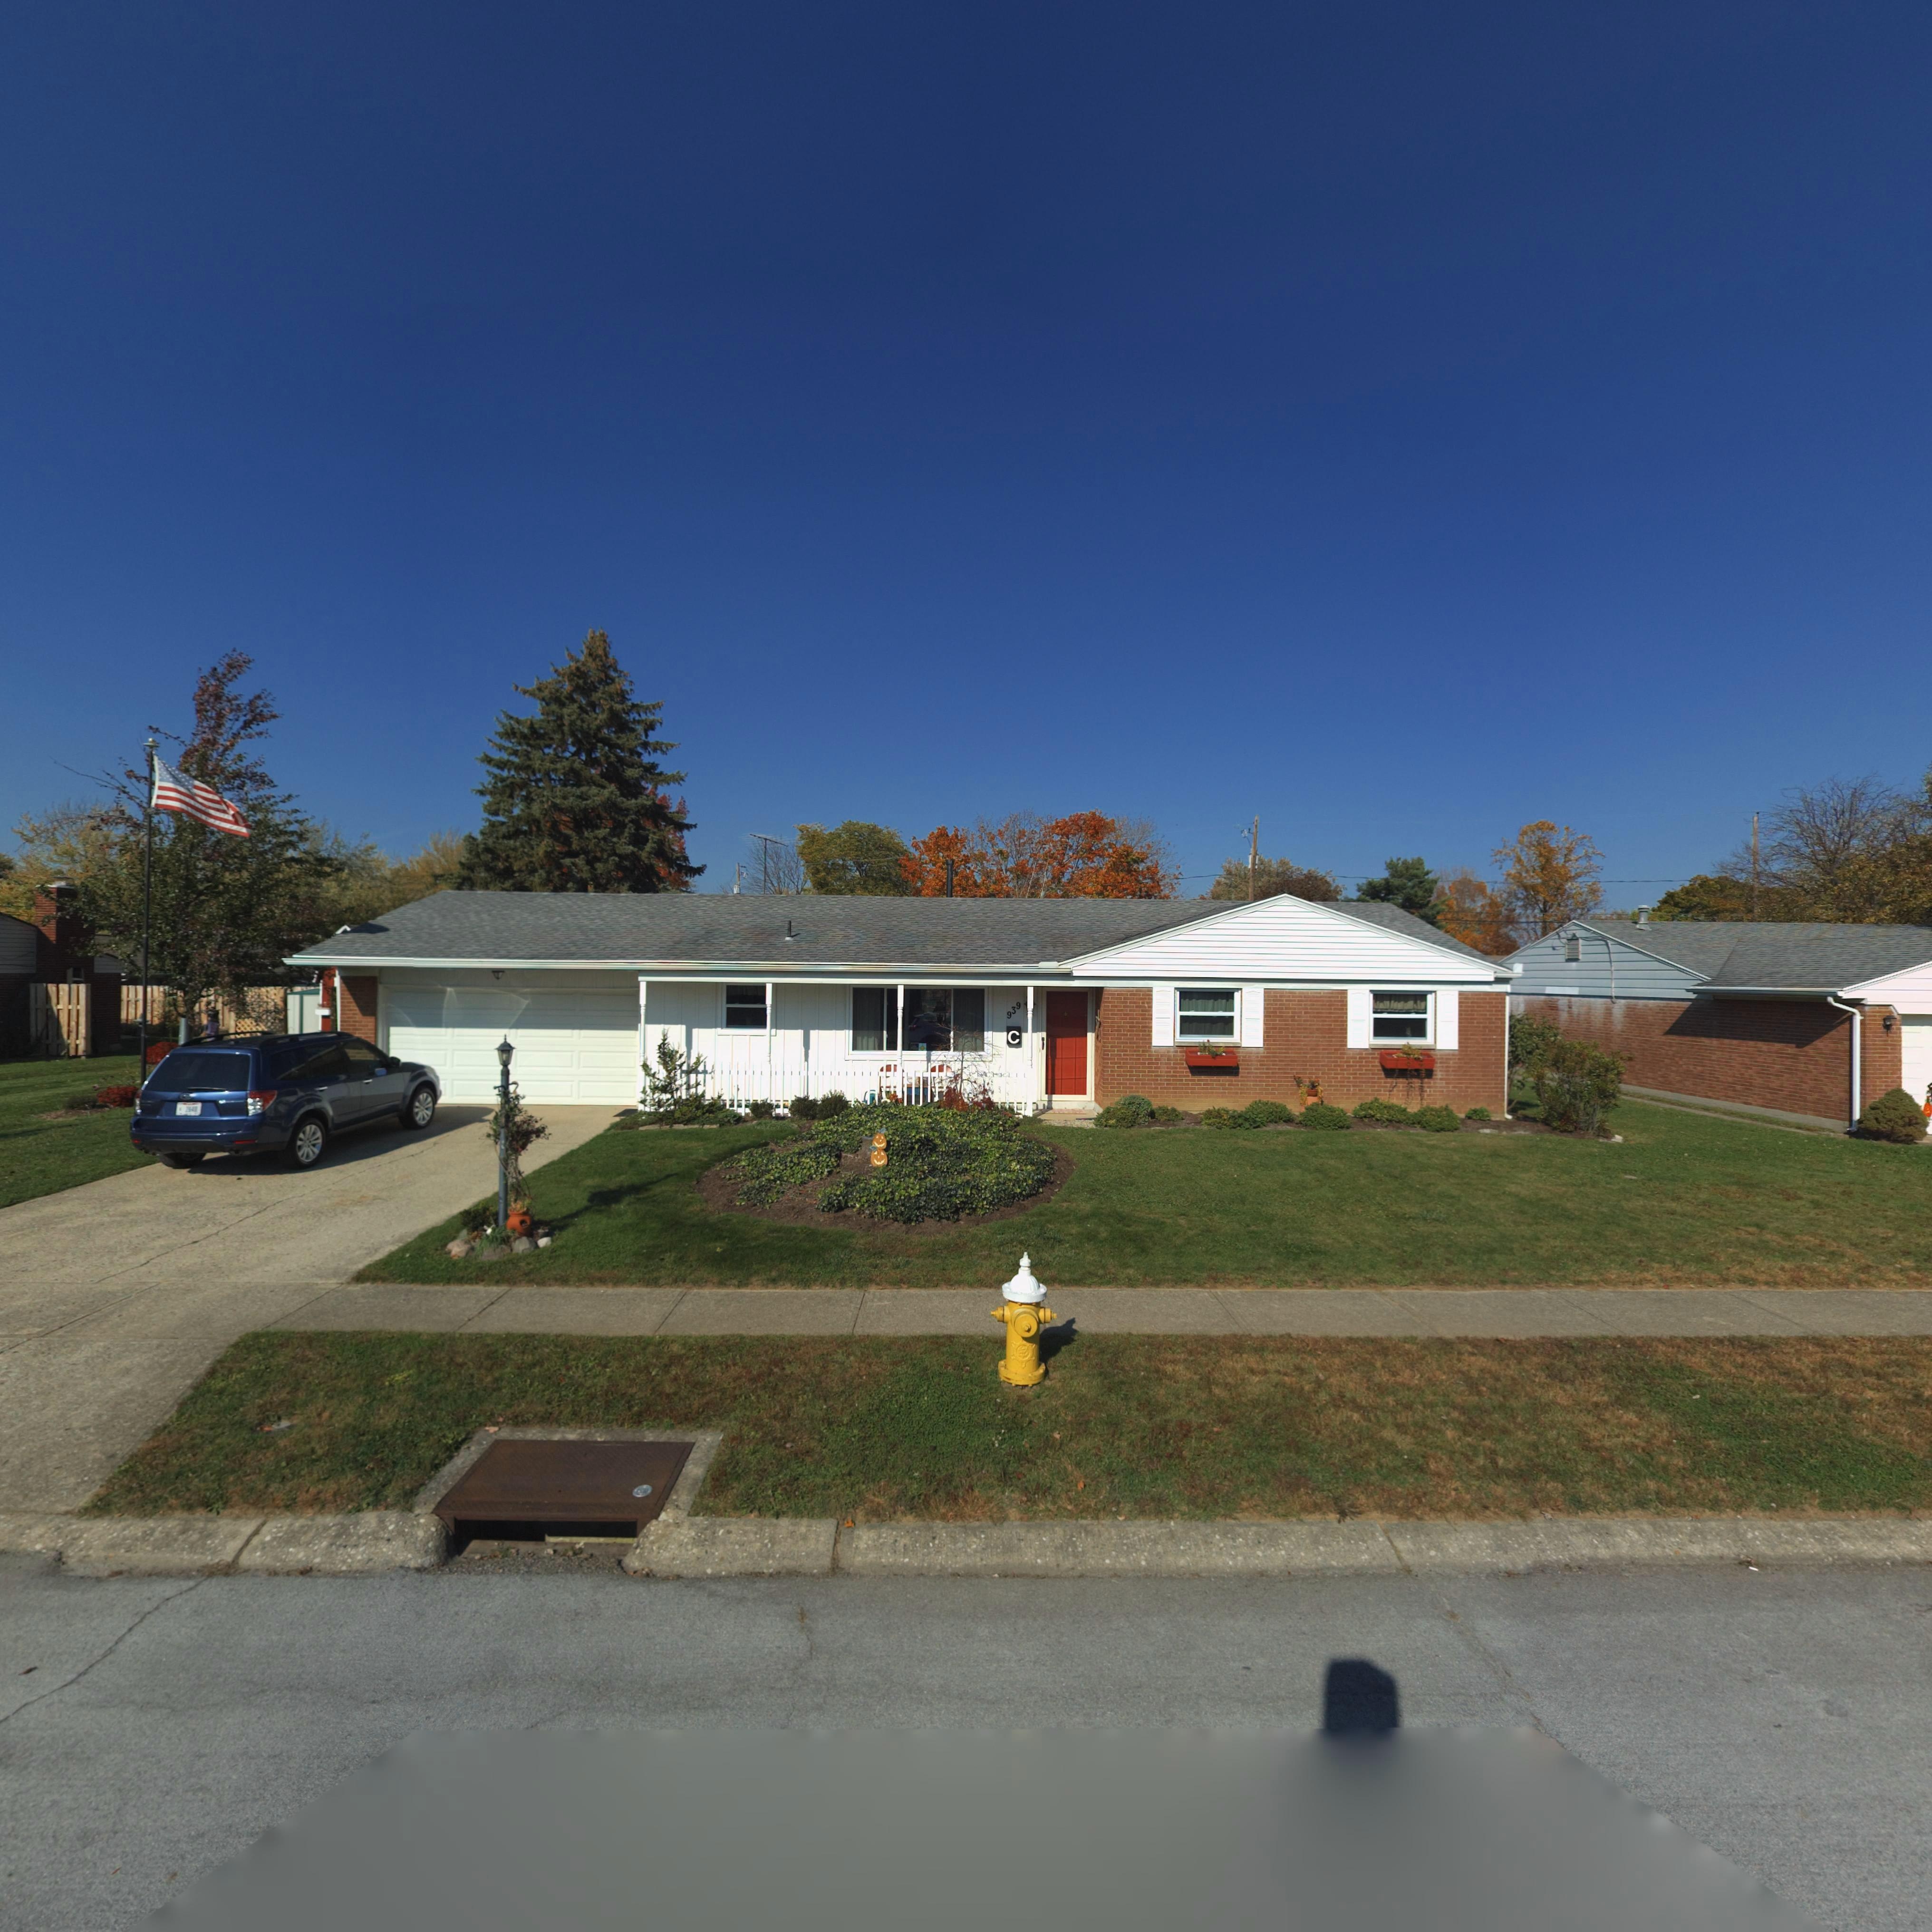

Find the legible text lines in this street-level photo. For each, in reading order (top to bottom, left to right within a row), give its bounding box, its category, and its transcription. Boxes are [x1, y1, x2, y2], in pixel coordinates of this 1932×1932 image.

[1006, 1000, 1022, 1020] StreetNumber: 939
[1007, 1029, 1021, 1045] None: C